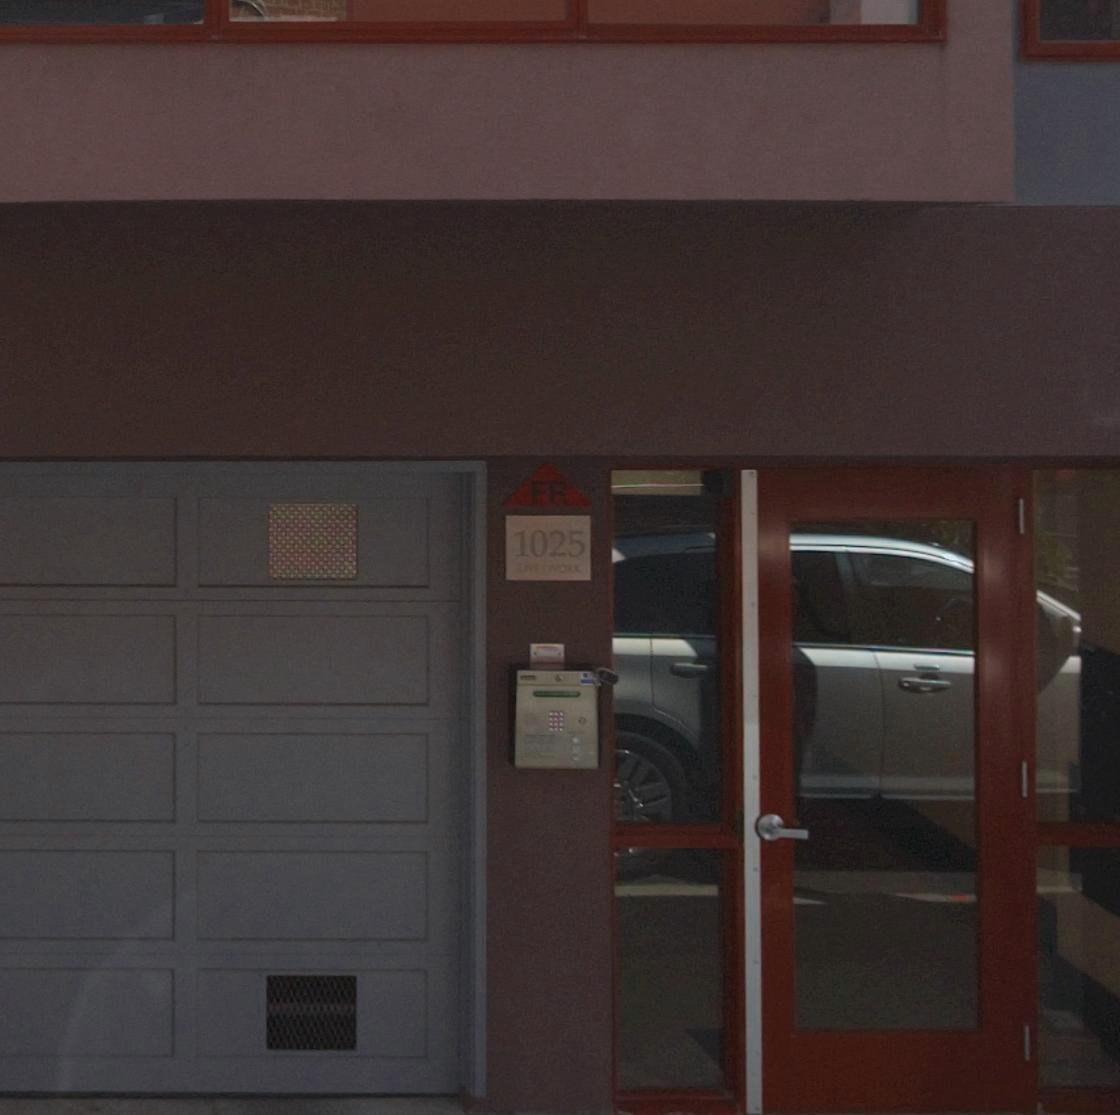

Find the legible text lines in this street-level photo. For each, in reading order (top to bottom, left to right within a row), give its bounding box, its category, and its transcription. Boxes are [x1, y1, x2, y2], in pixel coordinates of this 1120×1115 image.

[527, 476, 573, 509] None: FR
[510, 526, 588, 562] StreetNumber: 1025